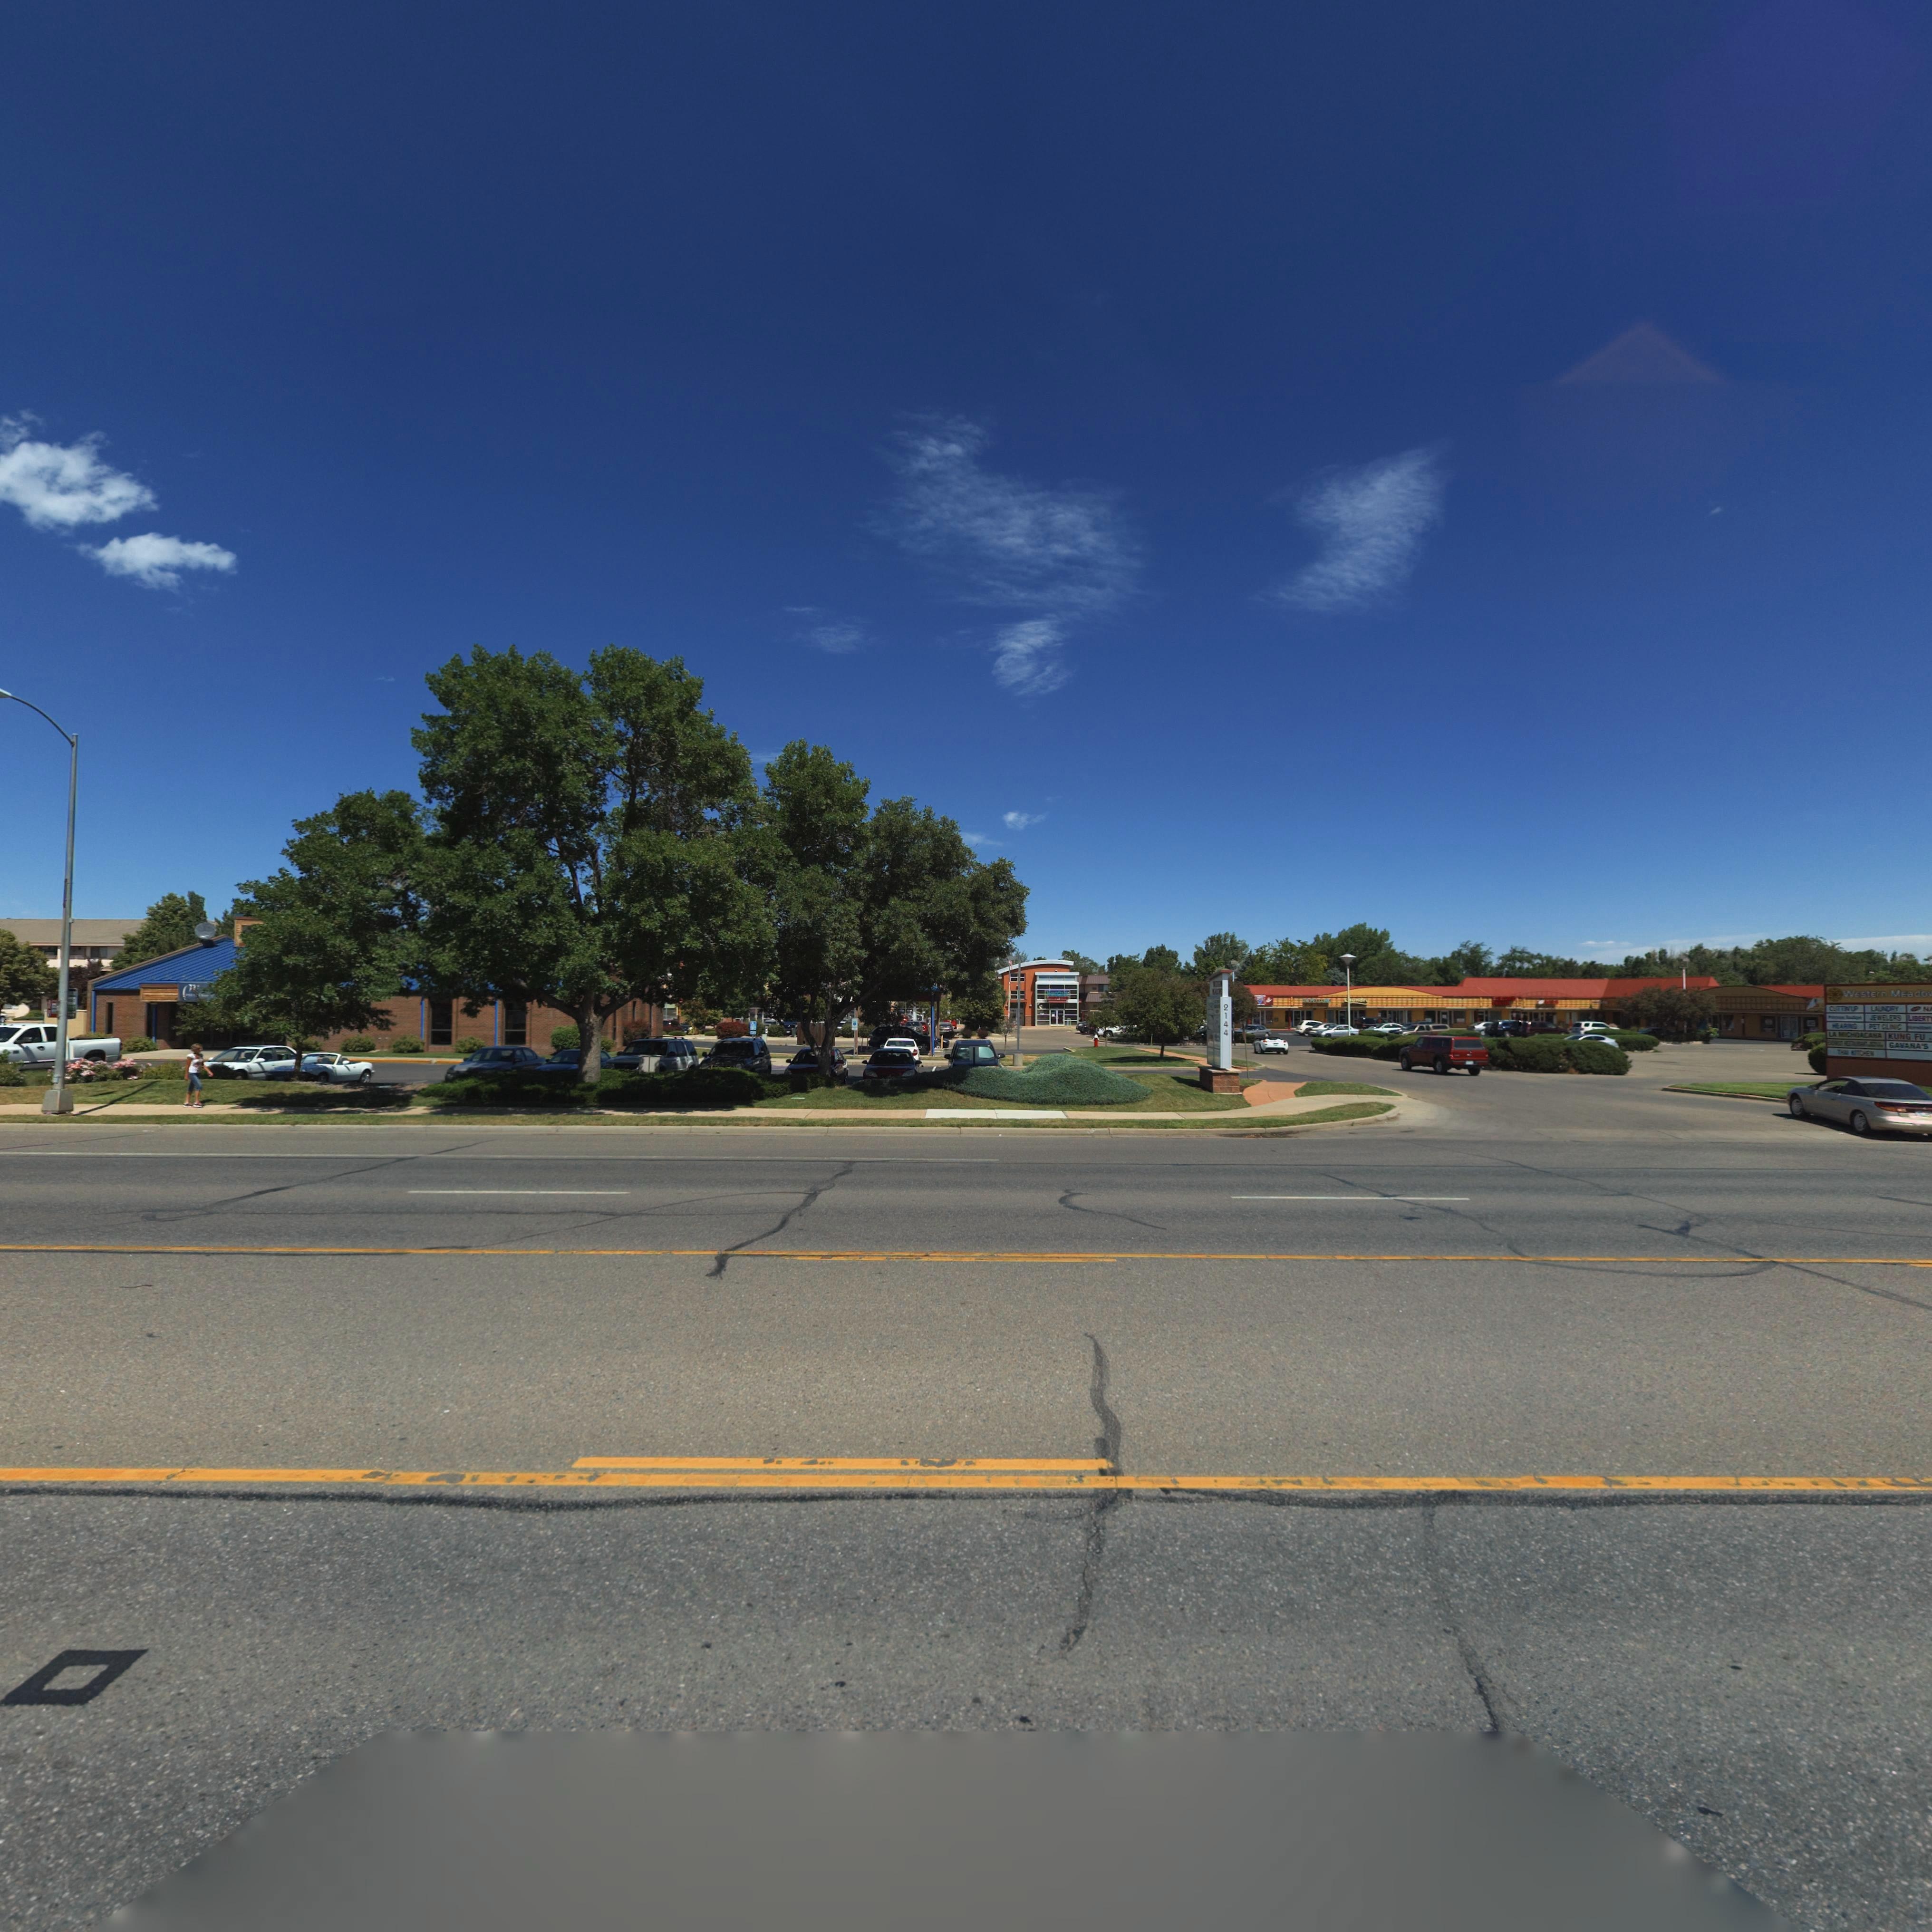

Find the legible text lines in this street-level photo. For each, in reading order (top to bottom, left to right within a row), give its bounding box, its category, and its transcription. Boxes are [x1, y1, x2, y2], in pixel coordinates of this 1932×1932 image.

[1223, 1004, 1228, 1037] StreetNumber: 2144